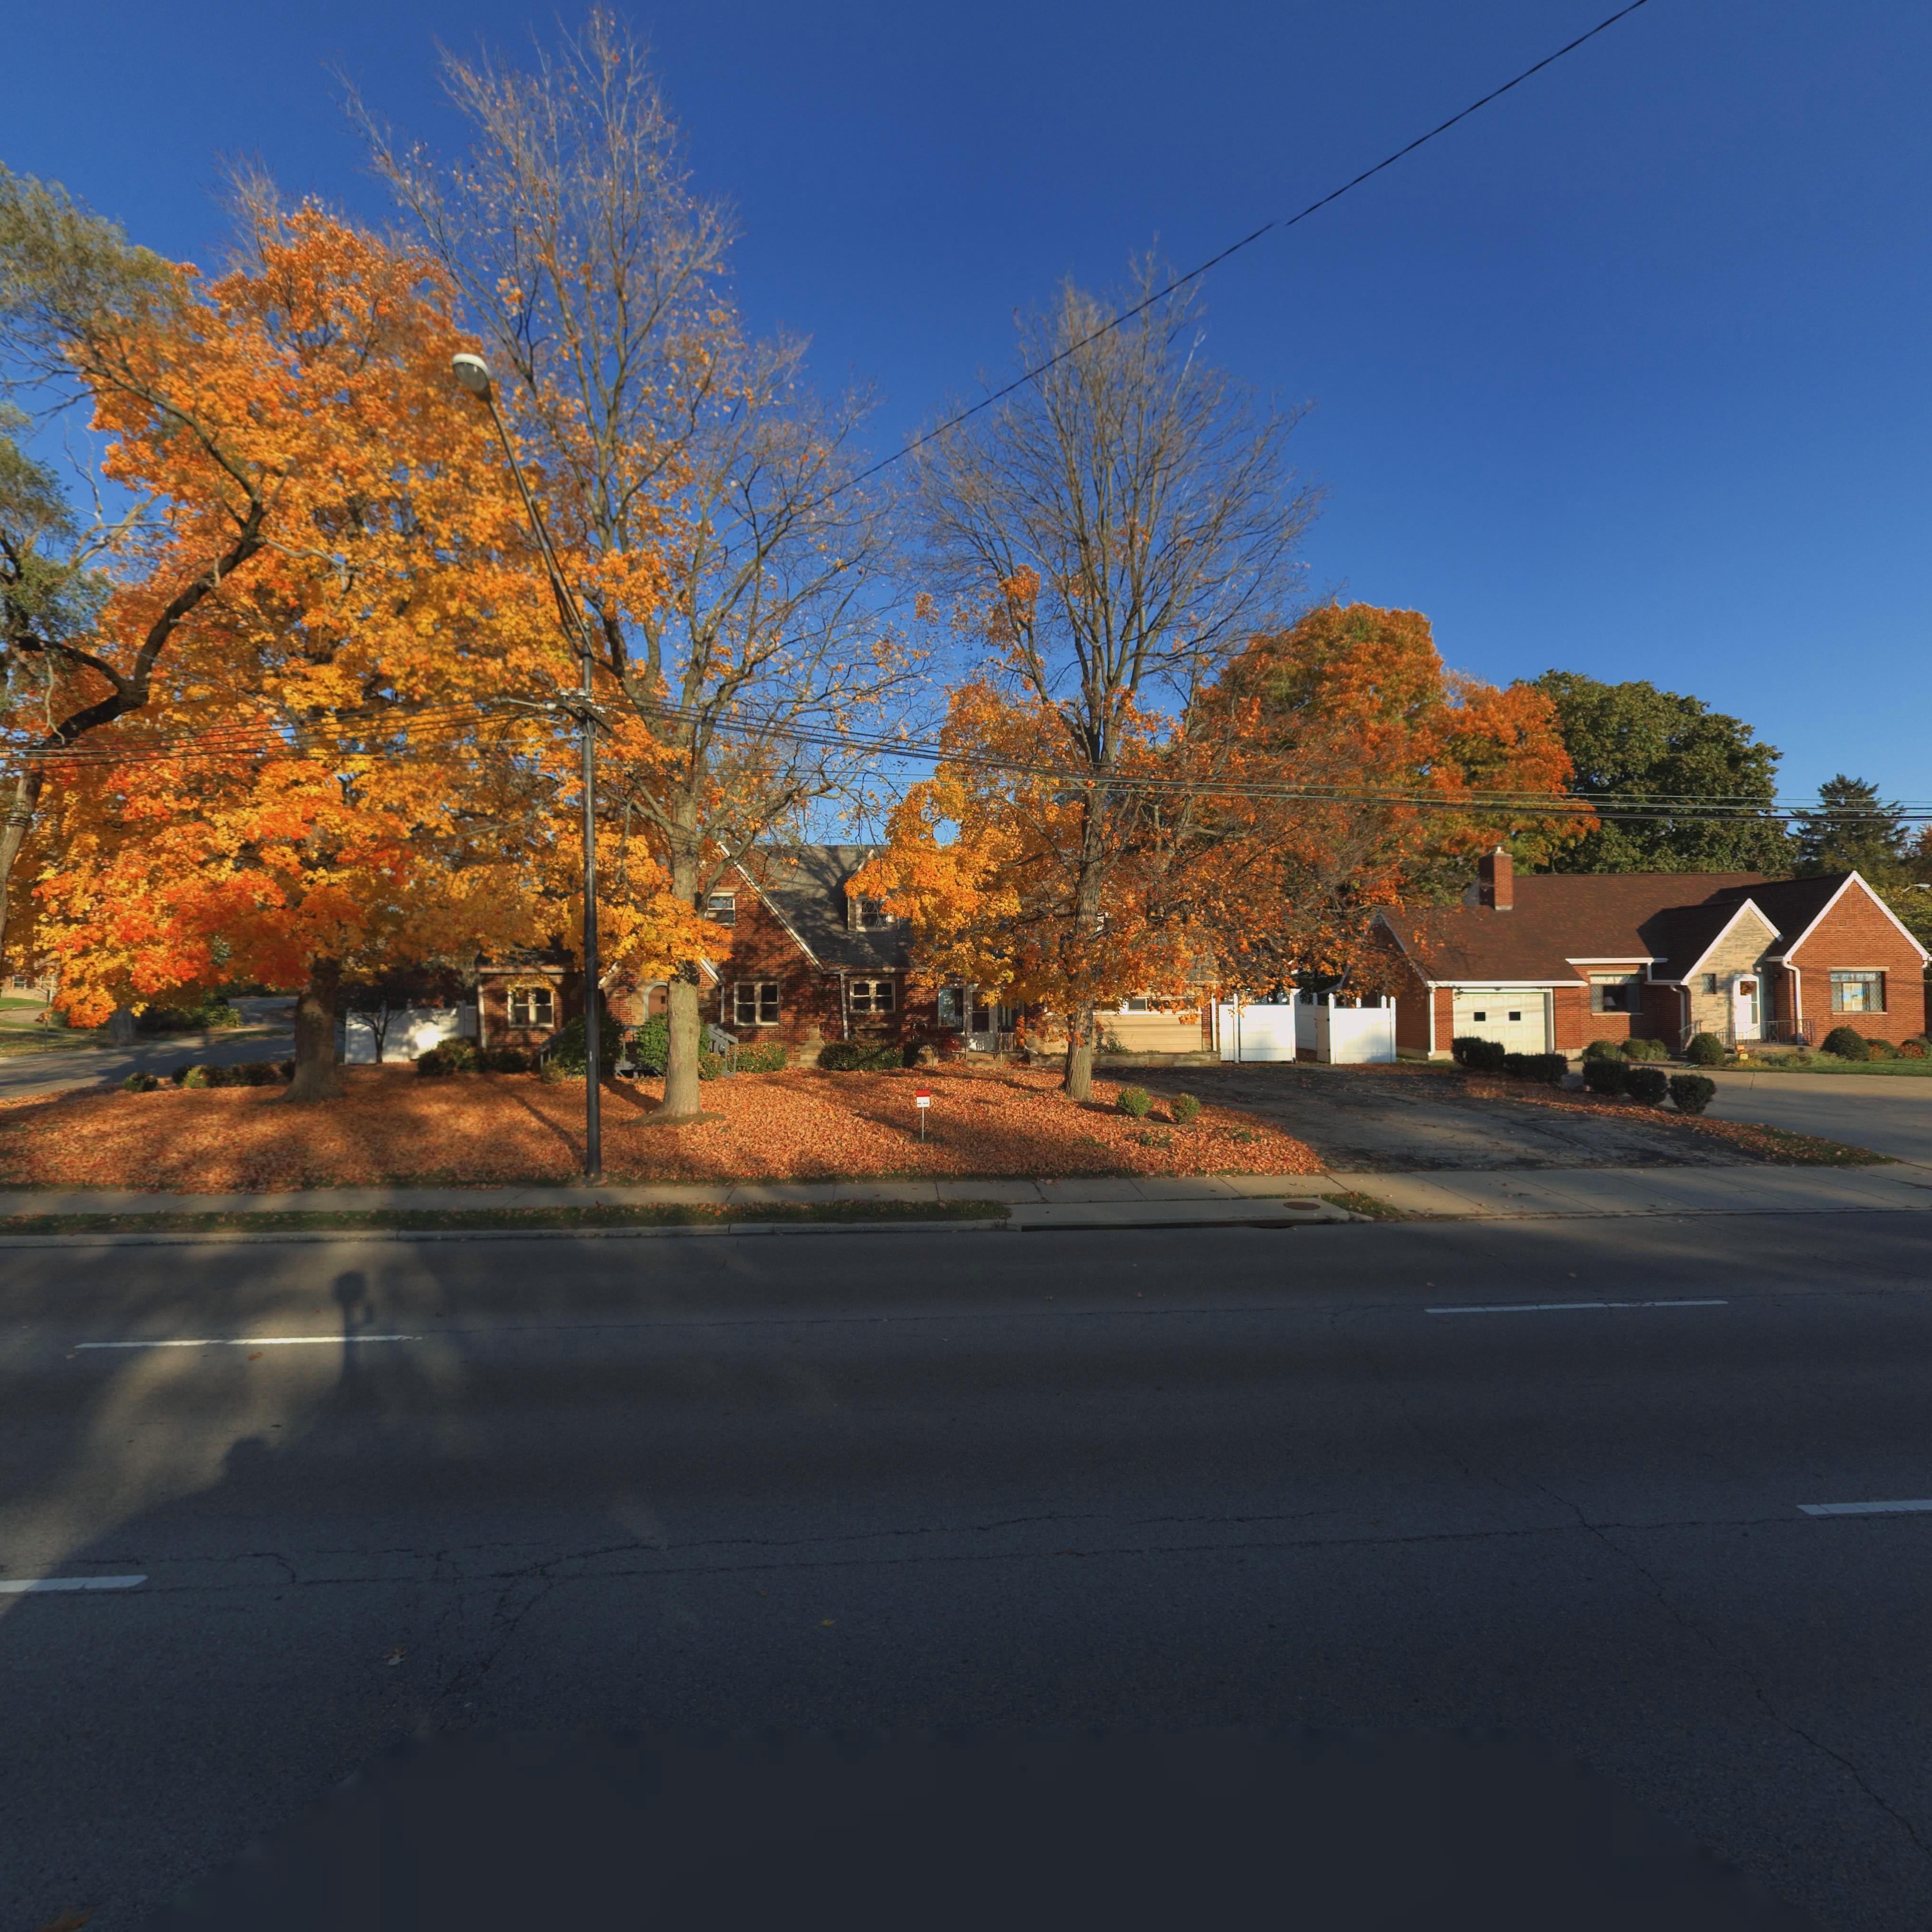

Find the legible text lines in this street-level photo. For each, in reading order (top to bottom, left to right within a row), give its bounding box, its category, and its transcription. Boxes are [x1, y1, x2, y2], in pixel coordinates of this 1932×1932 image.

[1536, 986, 1550, 992] StreetNumber: 3***